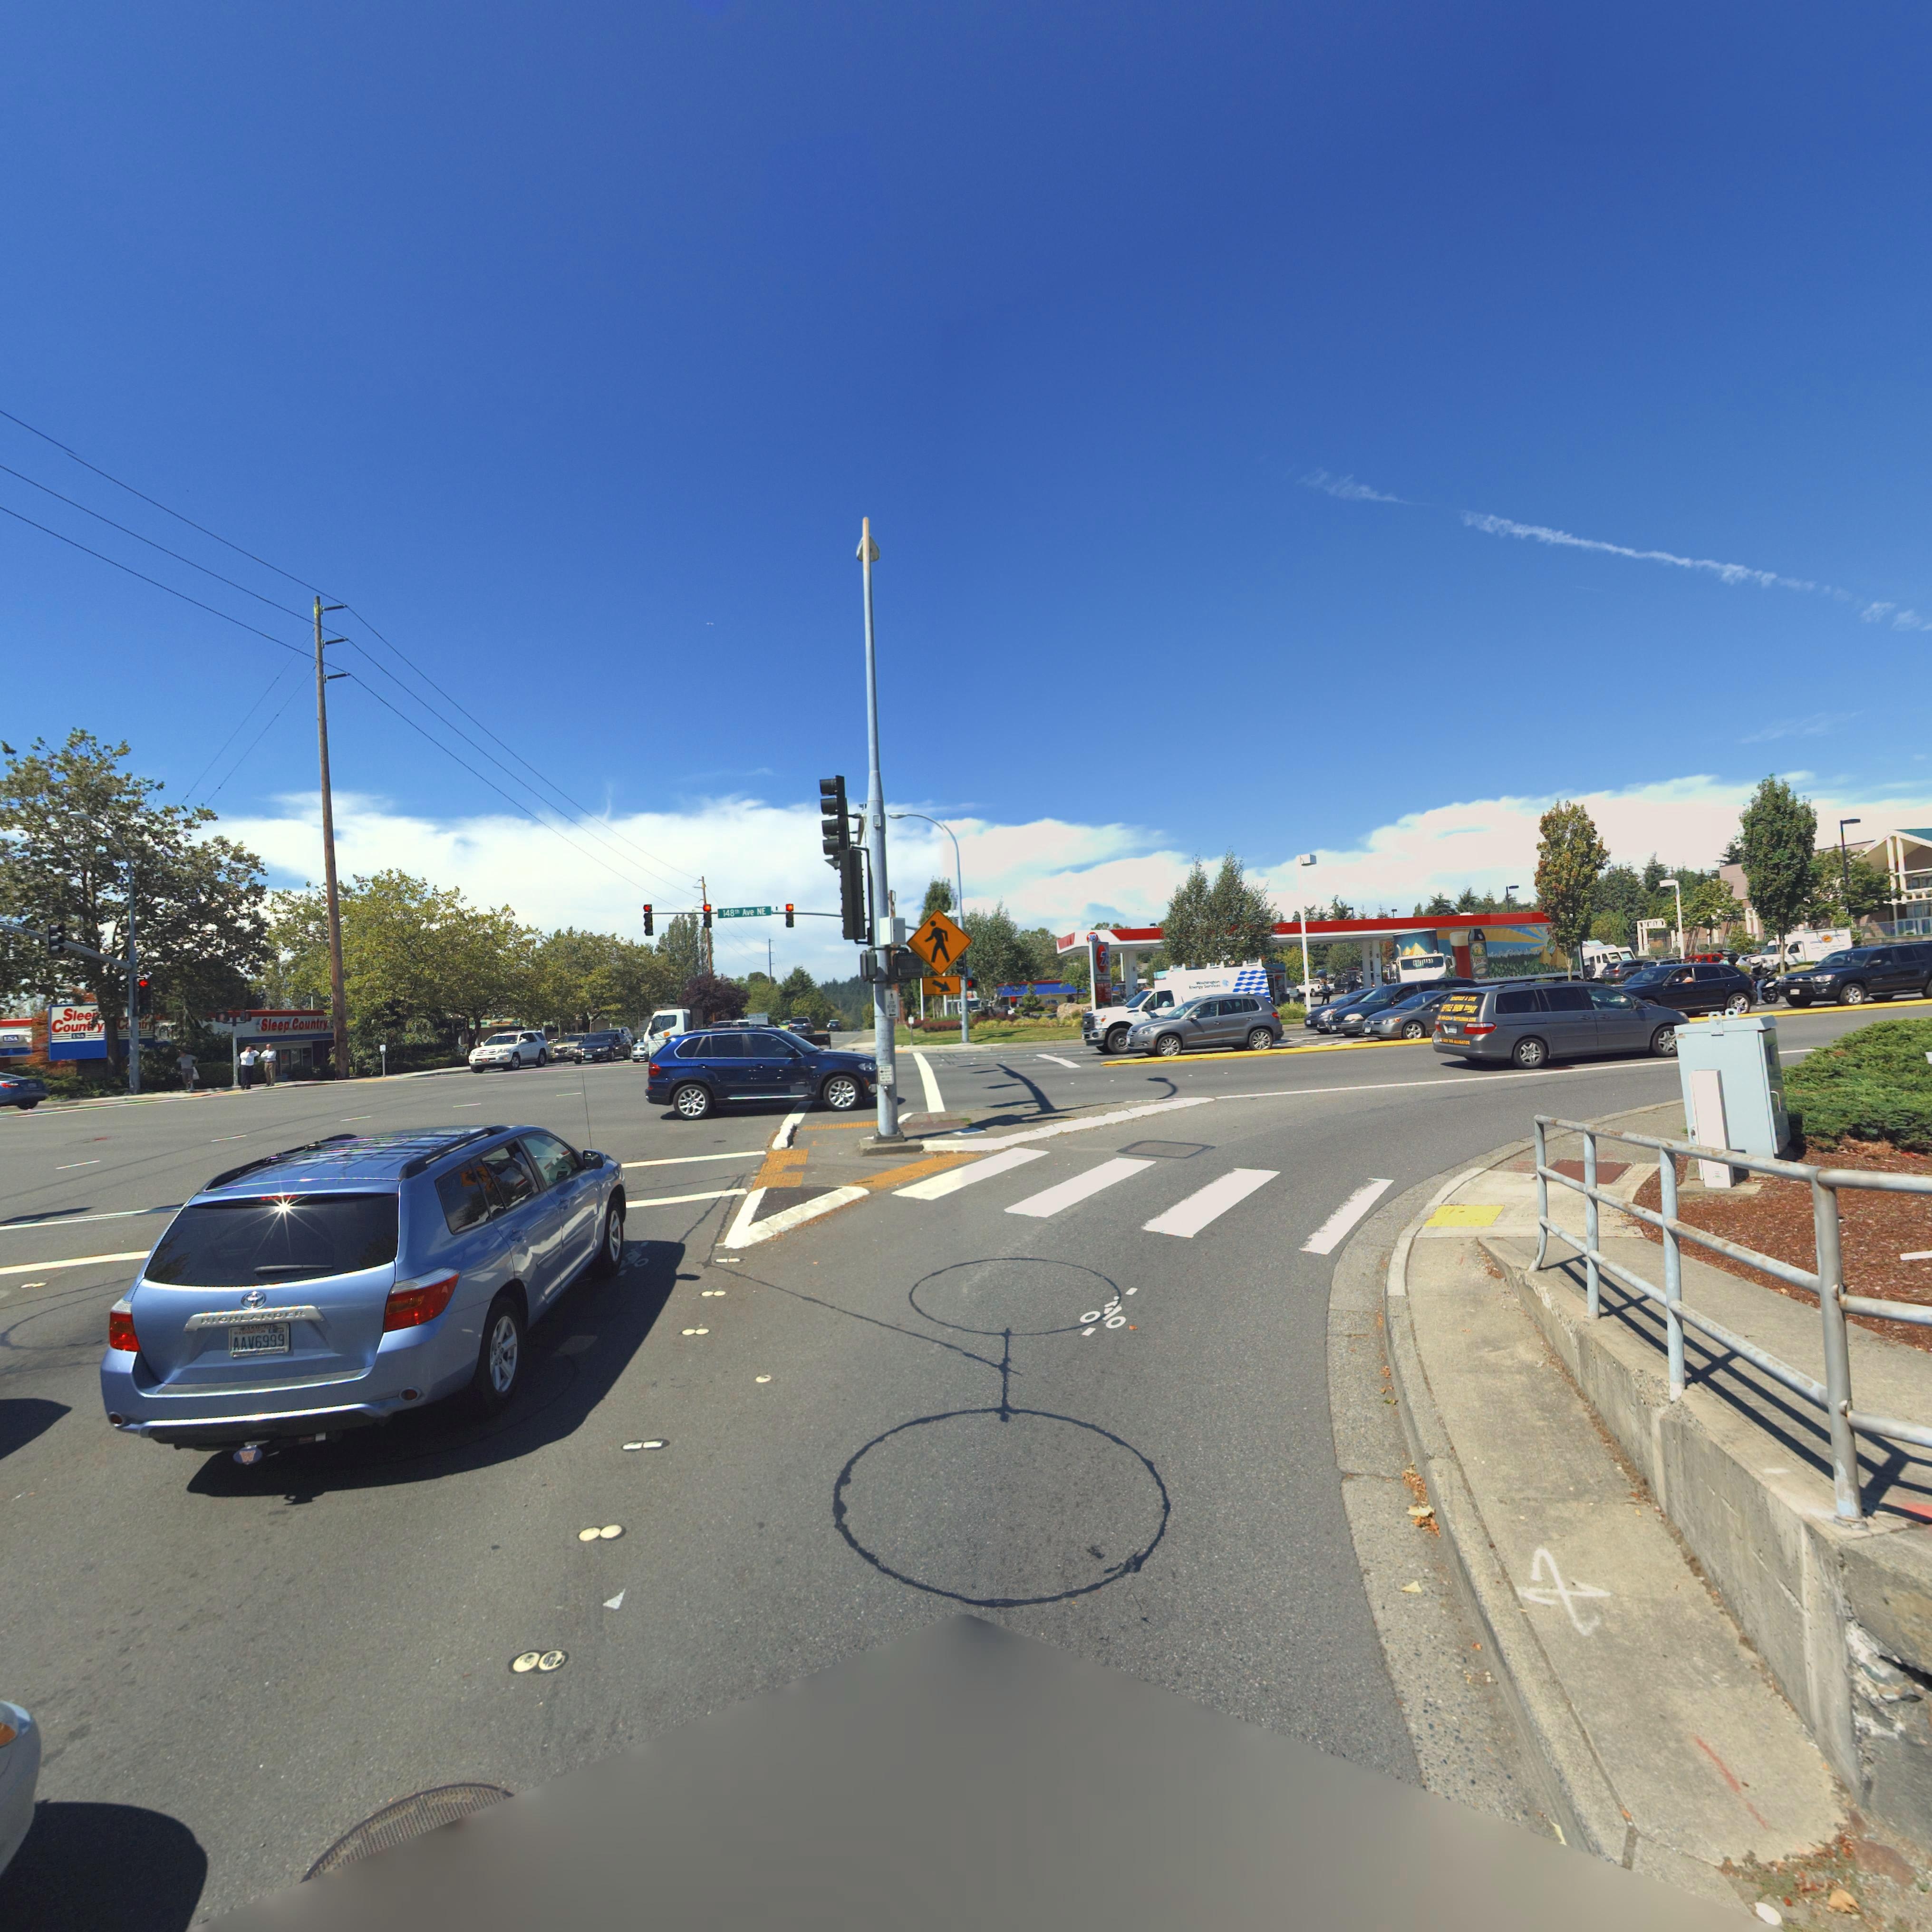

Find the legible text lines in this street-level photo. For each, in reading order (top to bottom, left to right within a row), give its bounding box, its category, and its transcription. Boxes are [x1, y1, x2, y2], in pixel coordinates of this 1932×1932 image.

[723, 908, 765, 916] StreetName: 148th Ave NE
[63, 1007, 92, 1021] BusinessName: Slee
[51, 1018, 87, 1033] BusinessName: Coun
[259, 1017, 328, 1033] BusinessName: Sleep Country